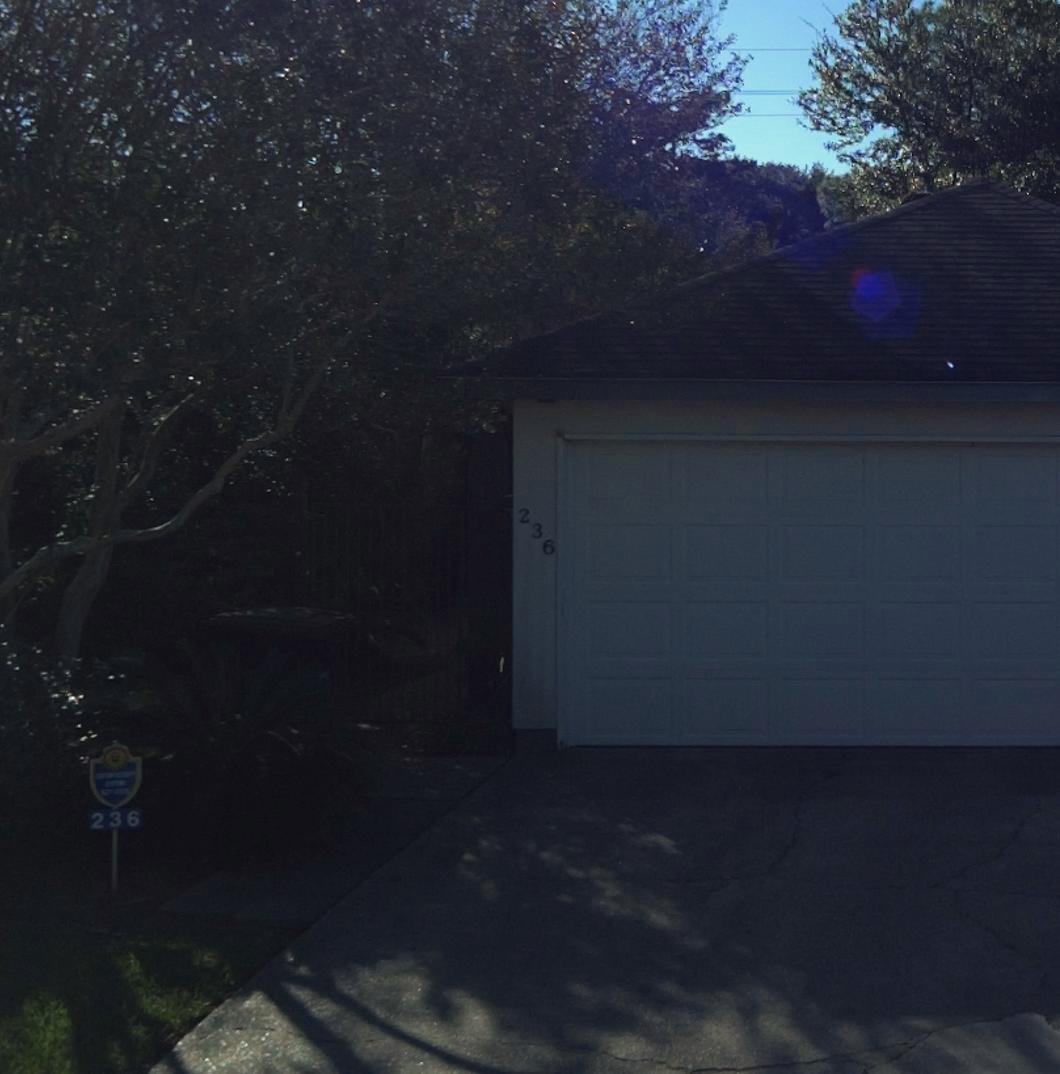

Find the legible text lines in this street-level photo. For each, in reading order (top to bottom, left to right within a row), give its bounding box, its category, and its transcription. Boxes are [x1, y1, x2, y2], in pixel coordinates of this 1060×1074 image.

[517, 507, 556, 556] StreetNumber: 236
[90, 810, 140, 830] StreetNumber: 236